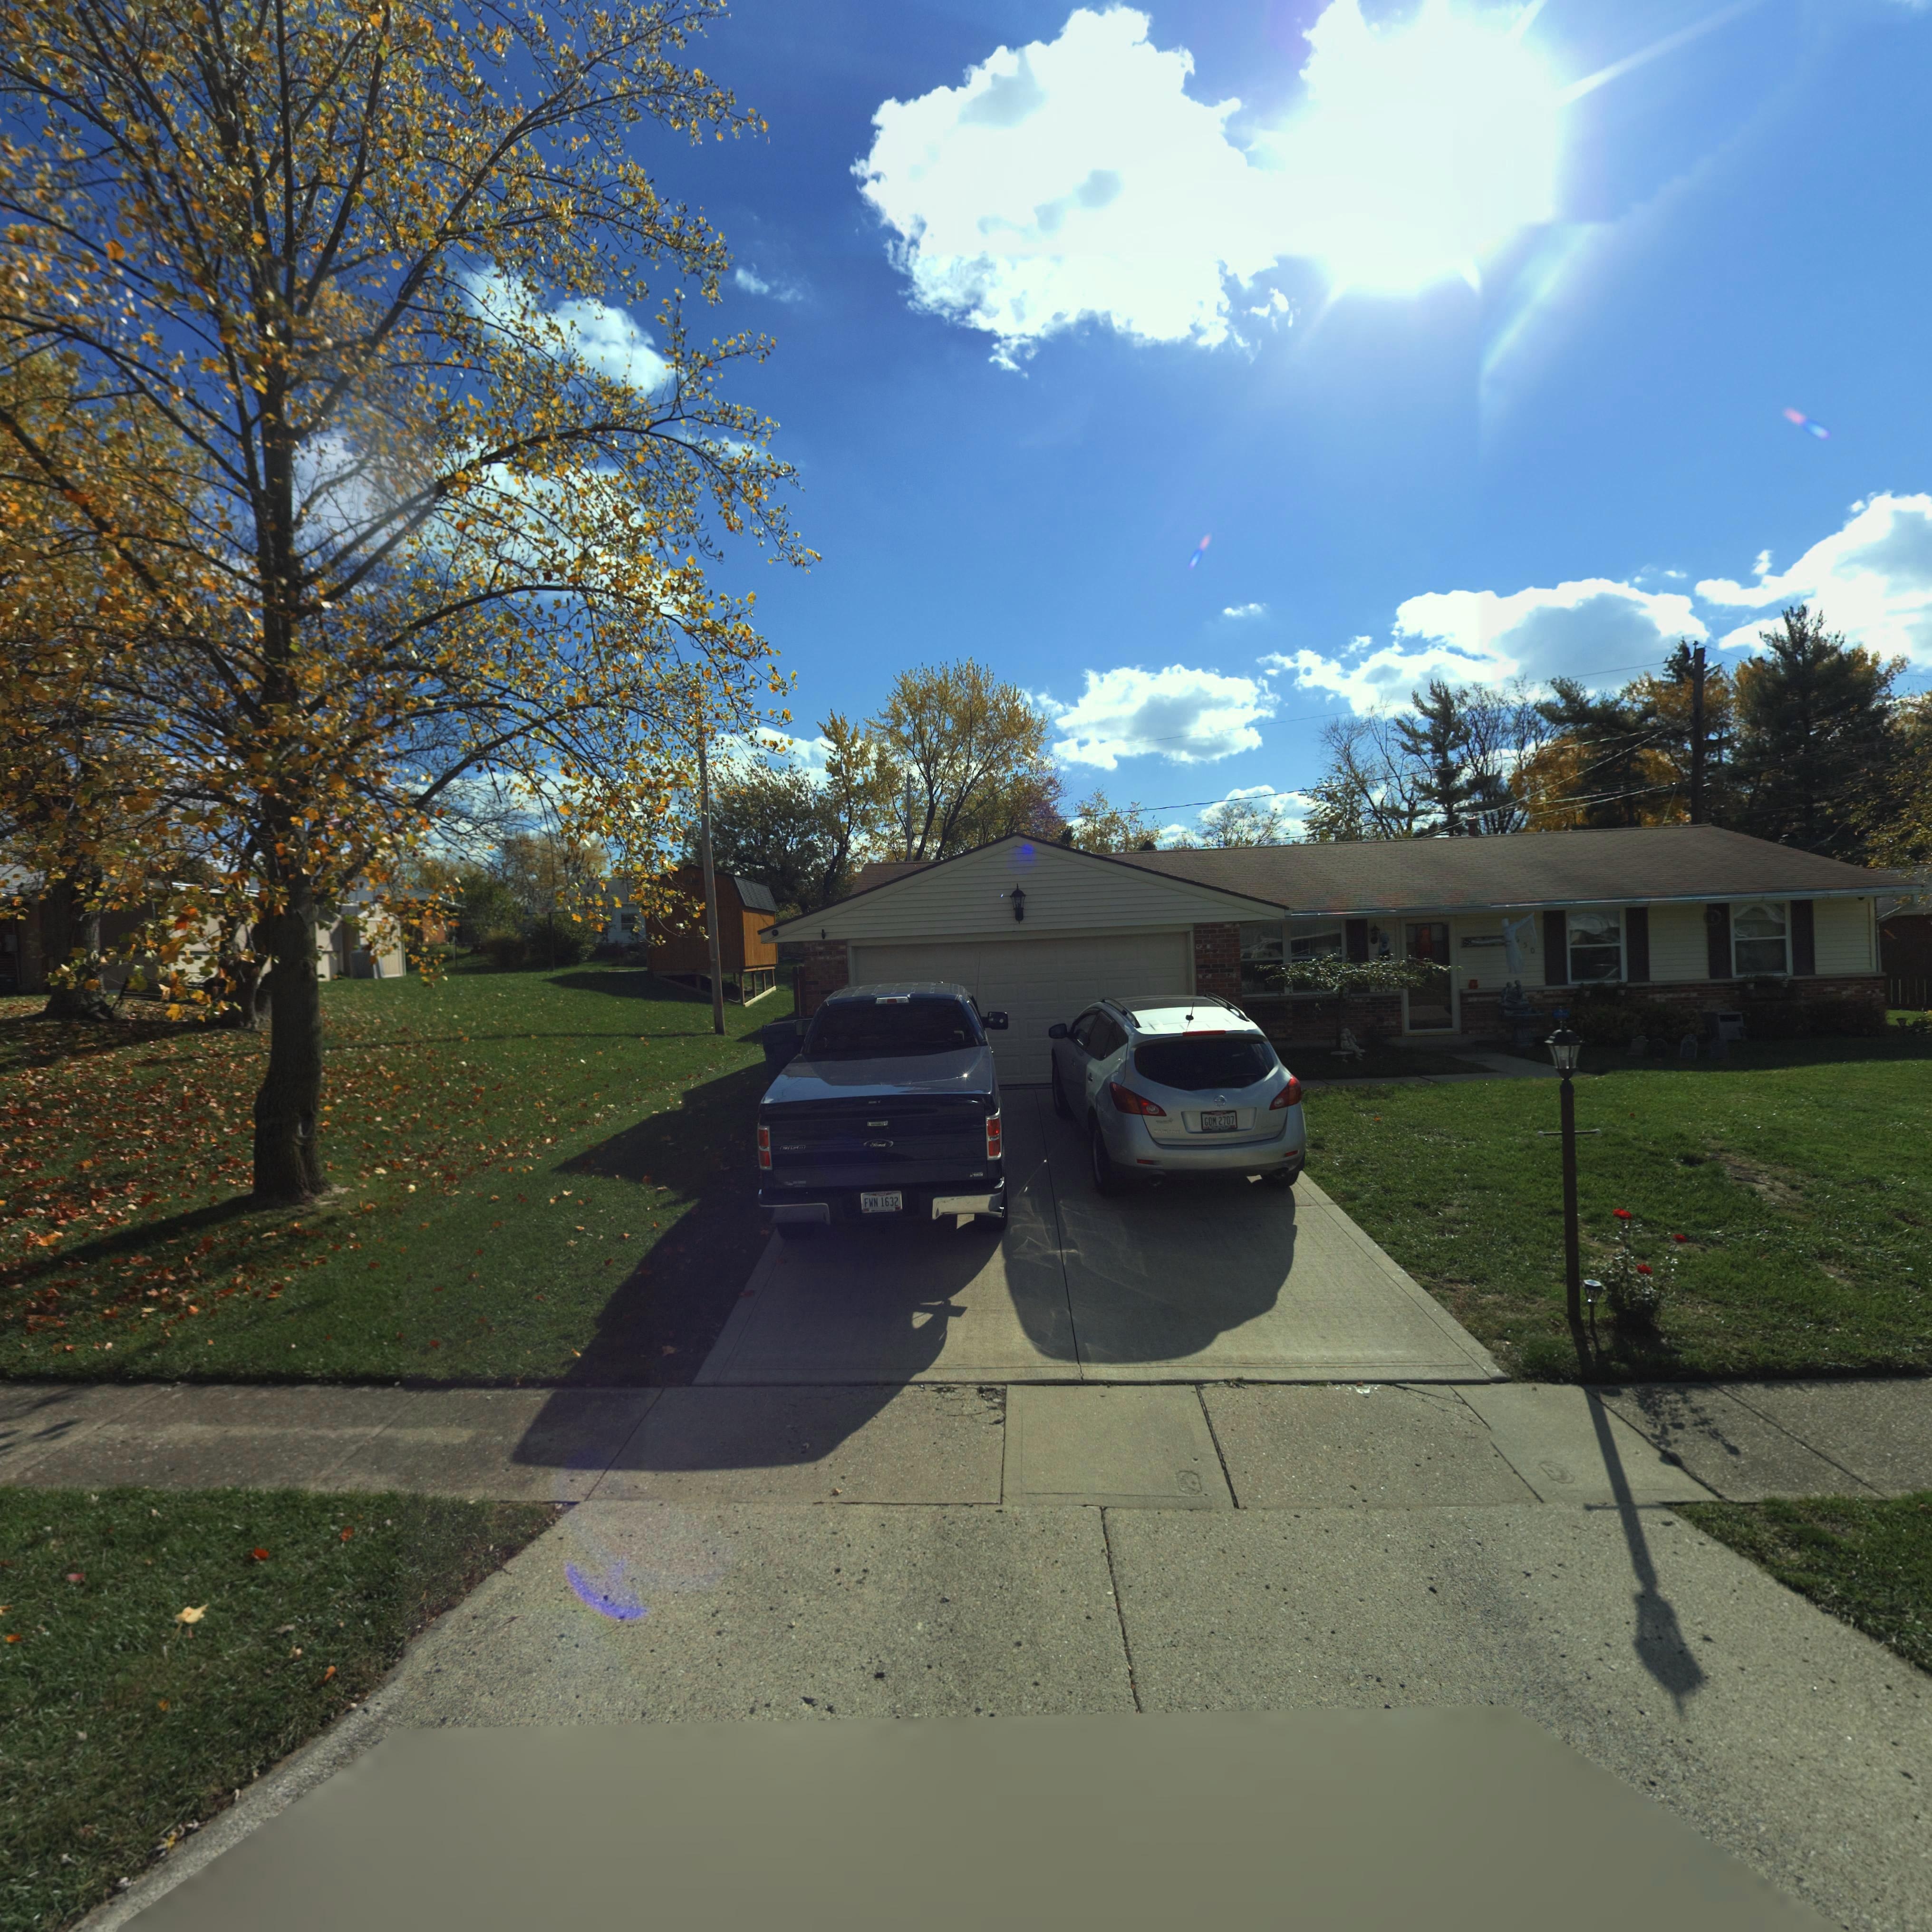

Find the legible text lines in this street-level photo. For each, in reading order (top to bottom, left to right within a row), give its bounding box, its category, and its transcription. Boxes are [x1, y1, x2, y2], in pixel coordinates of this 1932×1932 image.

[1515, 935, 1536, 955] StreetNumber: 550